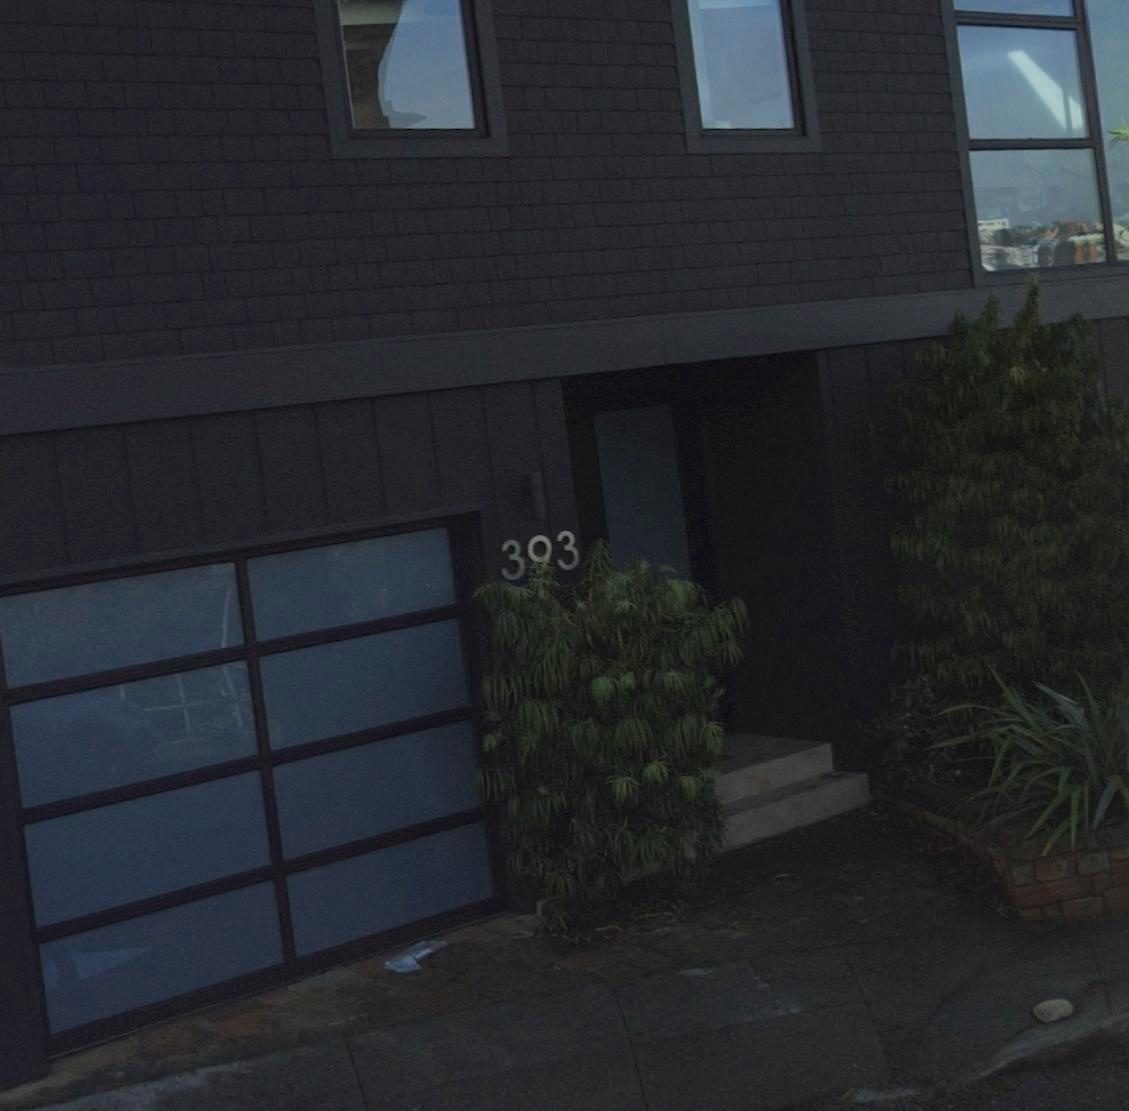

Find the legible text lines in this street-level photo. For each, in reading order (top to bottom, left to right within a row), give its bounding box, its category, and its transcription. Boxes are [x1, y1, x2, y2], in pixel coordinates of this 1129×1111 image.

[499, 528, 583, 585] StreetNumber: 393